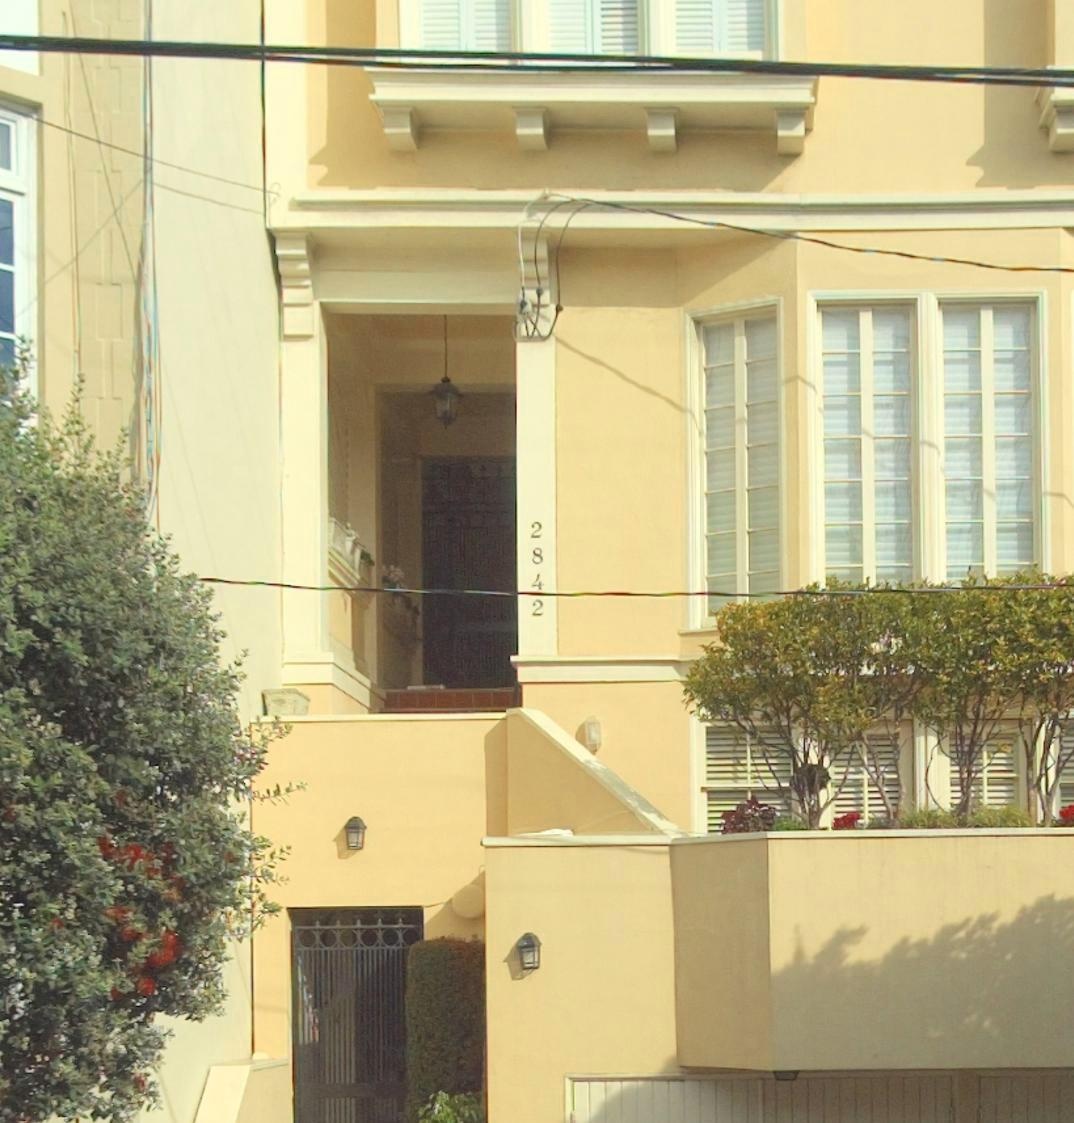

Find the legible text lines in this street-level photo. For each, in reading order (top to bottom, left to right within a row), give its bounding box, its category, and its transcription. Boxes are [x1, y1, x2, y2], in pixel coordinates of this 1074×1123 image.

[528, 519, 548, 619] StreetNumber: 2842